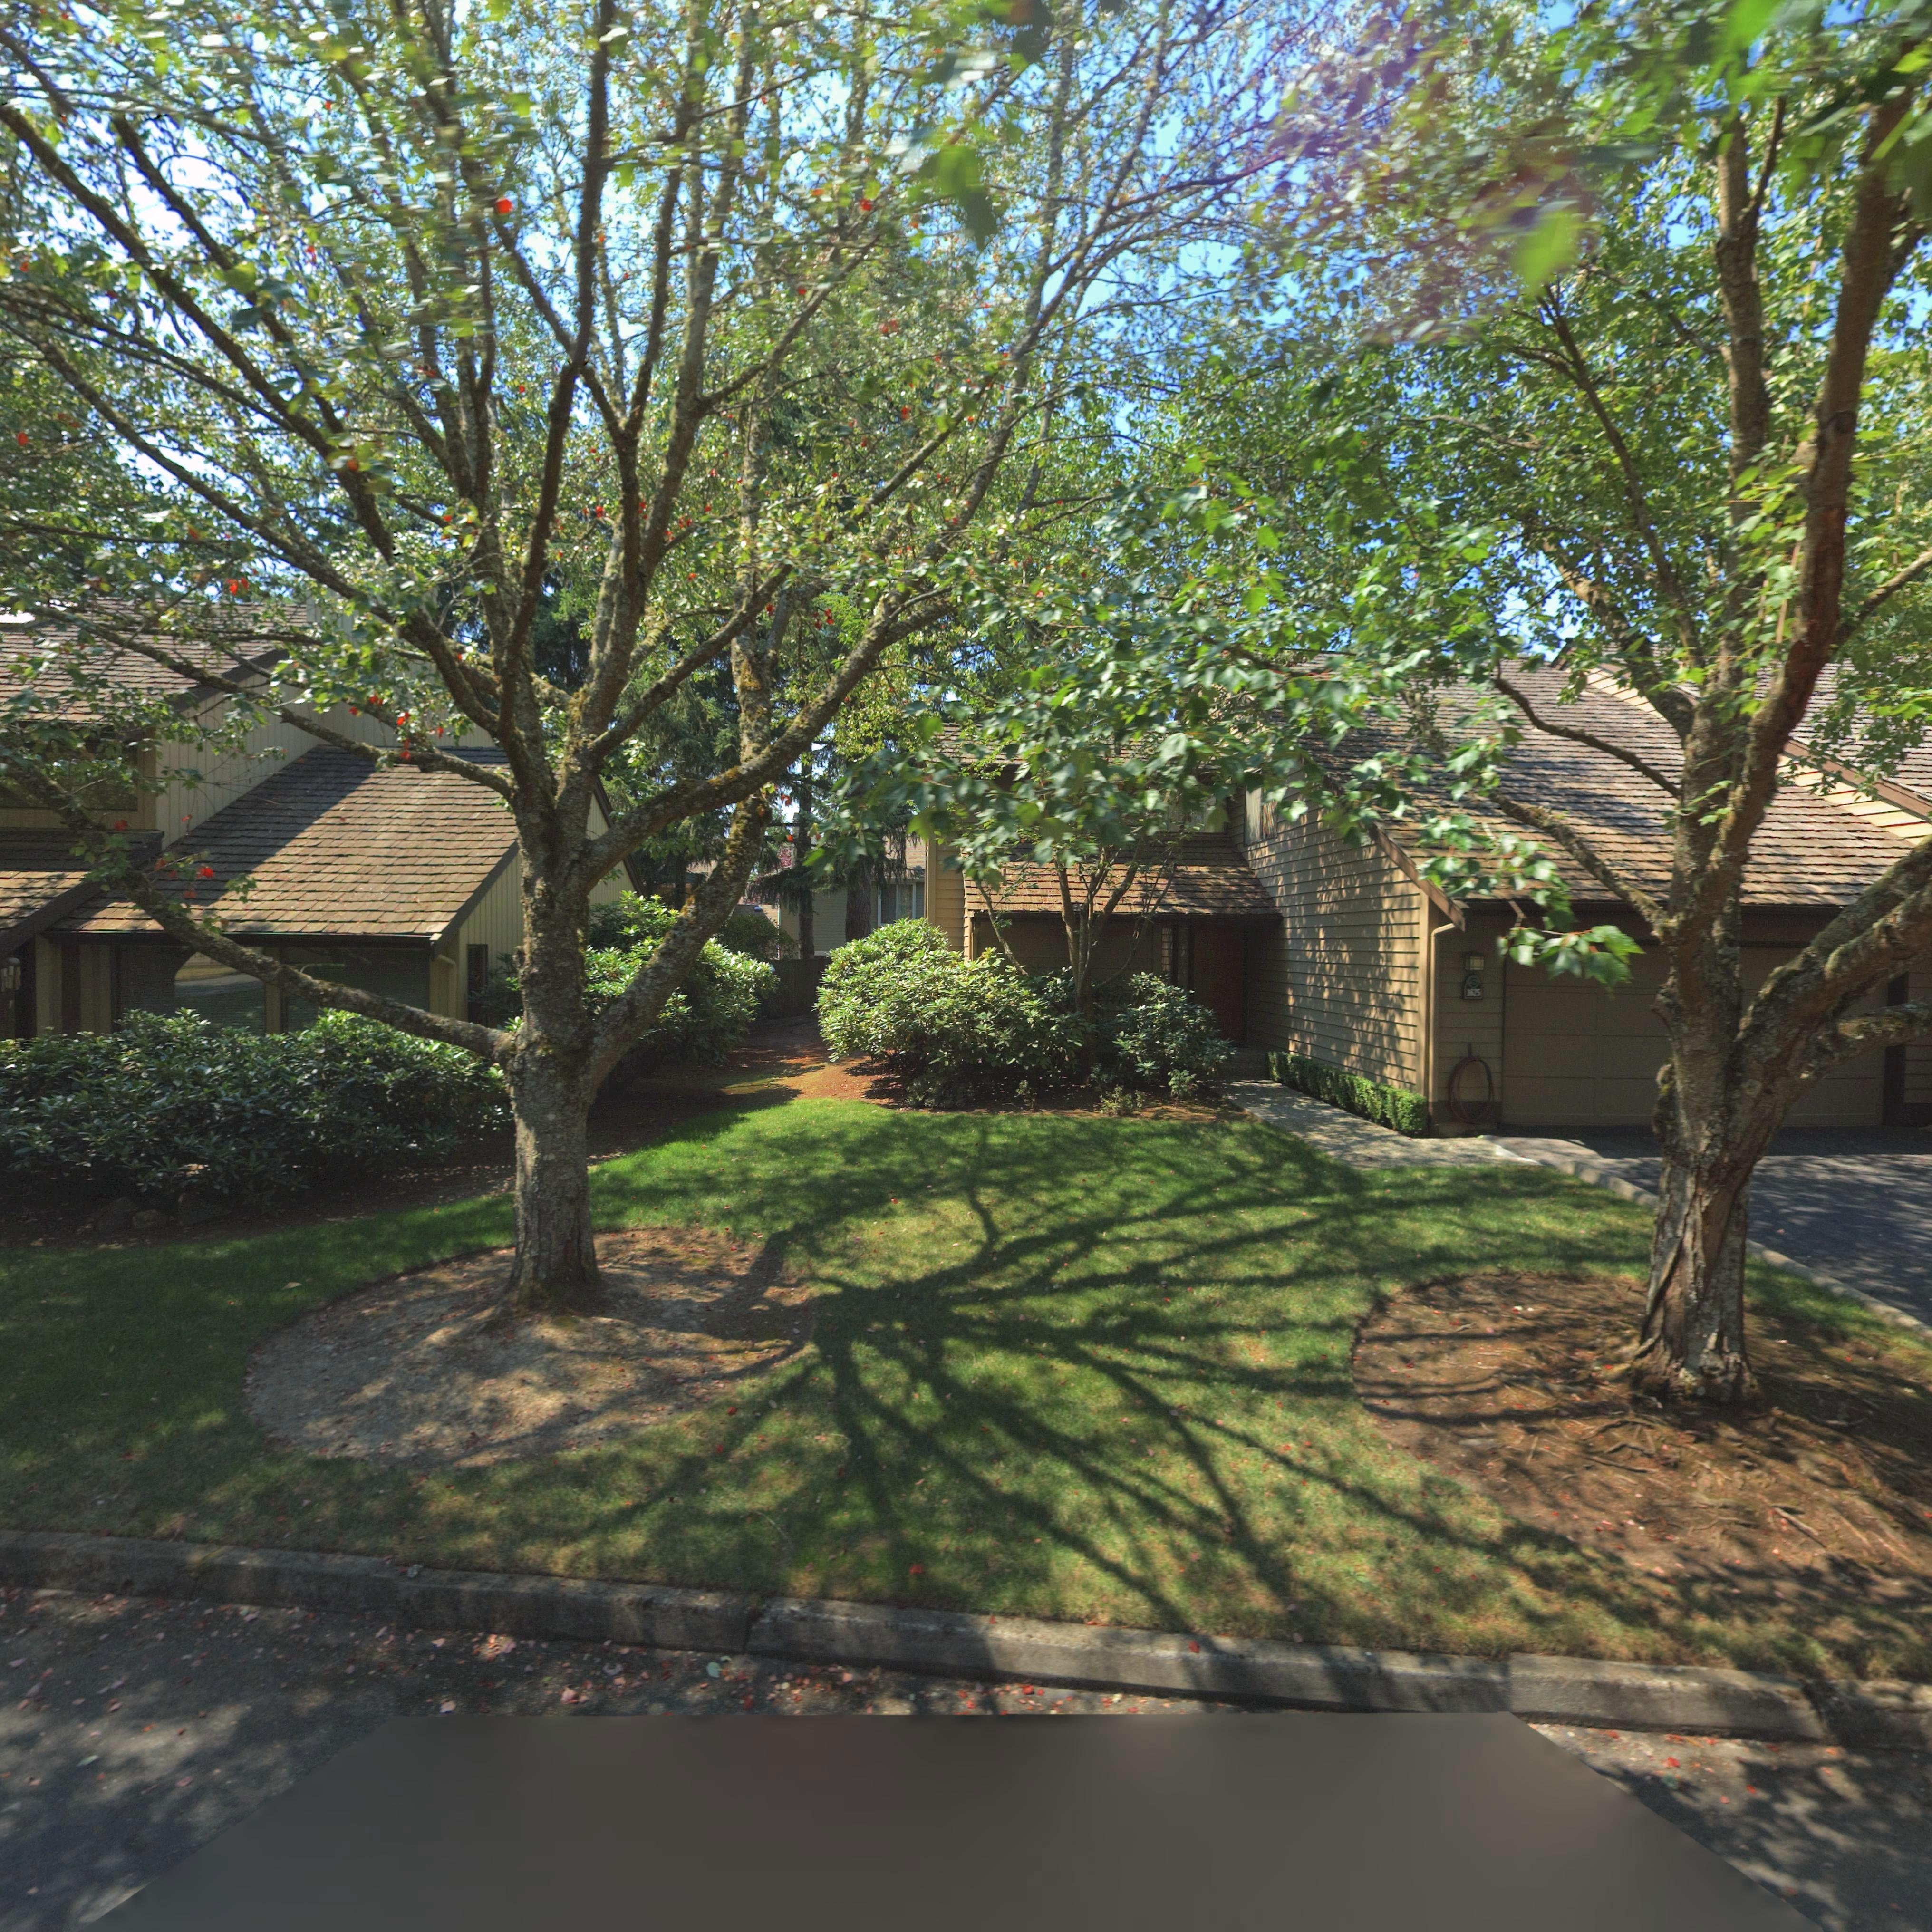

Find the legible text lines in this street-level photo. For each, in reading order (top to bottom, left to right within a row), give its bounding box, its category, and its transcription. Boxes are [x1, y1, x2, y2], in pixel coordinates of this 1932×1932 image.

[1466, 988, 1482, 997] StreetNumber: 1625